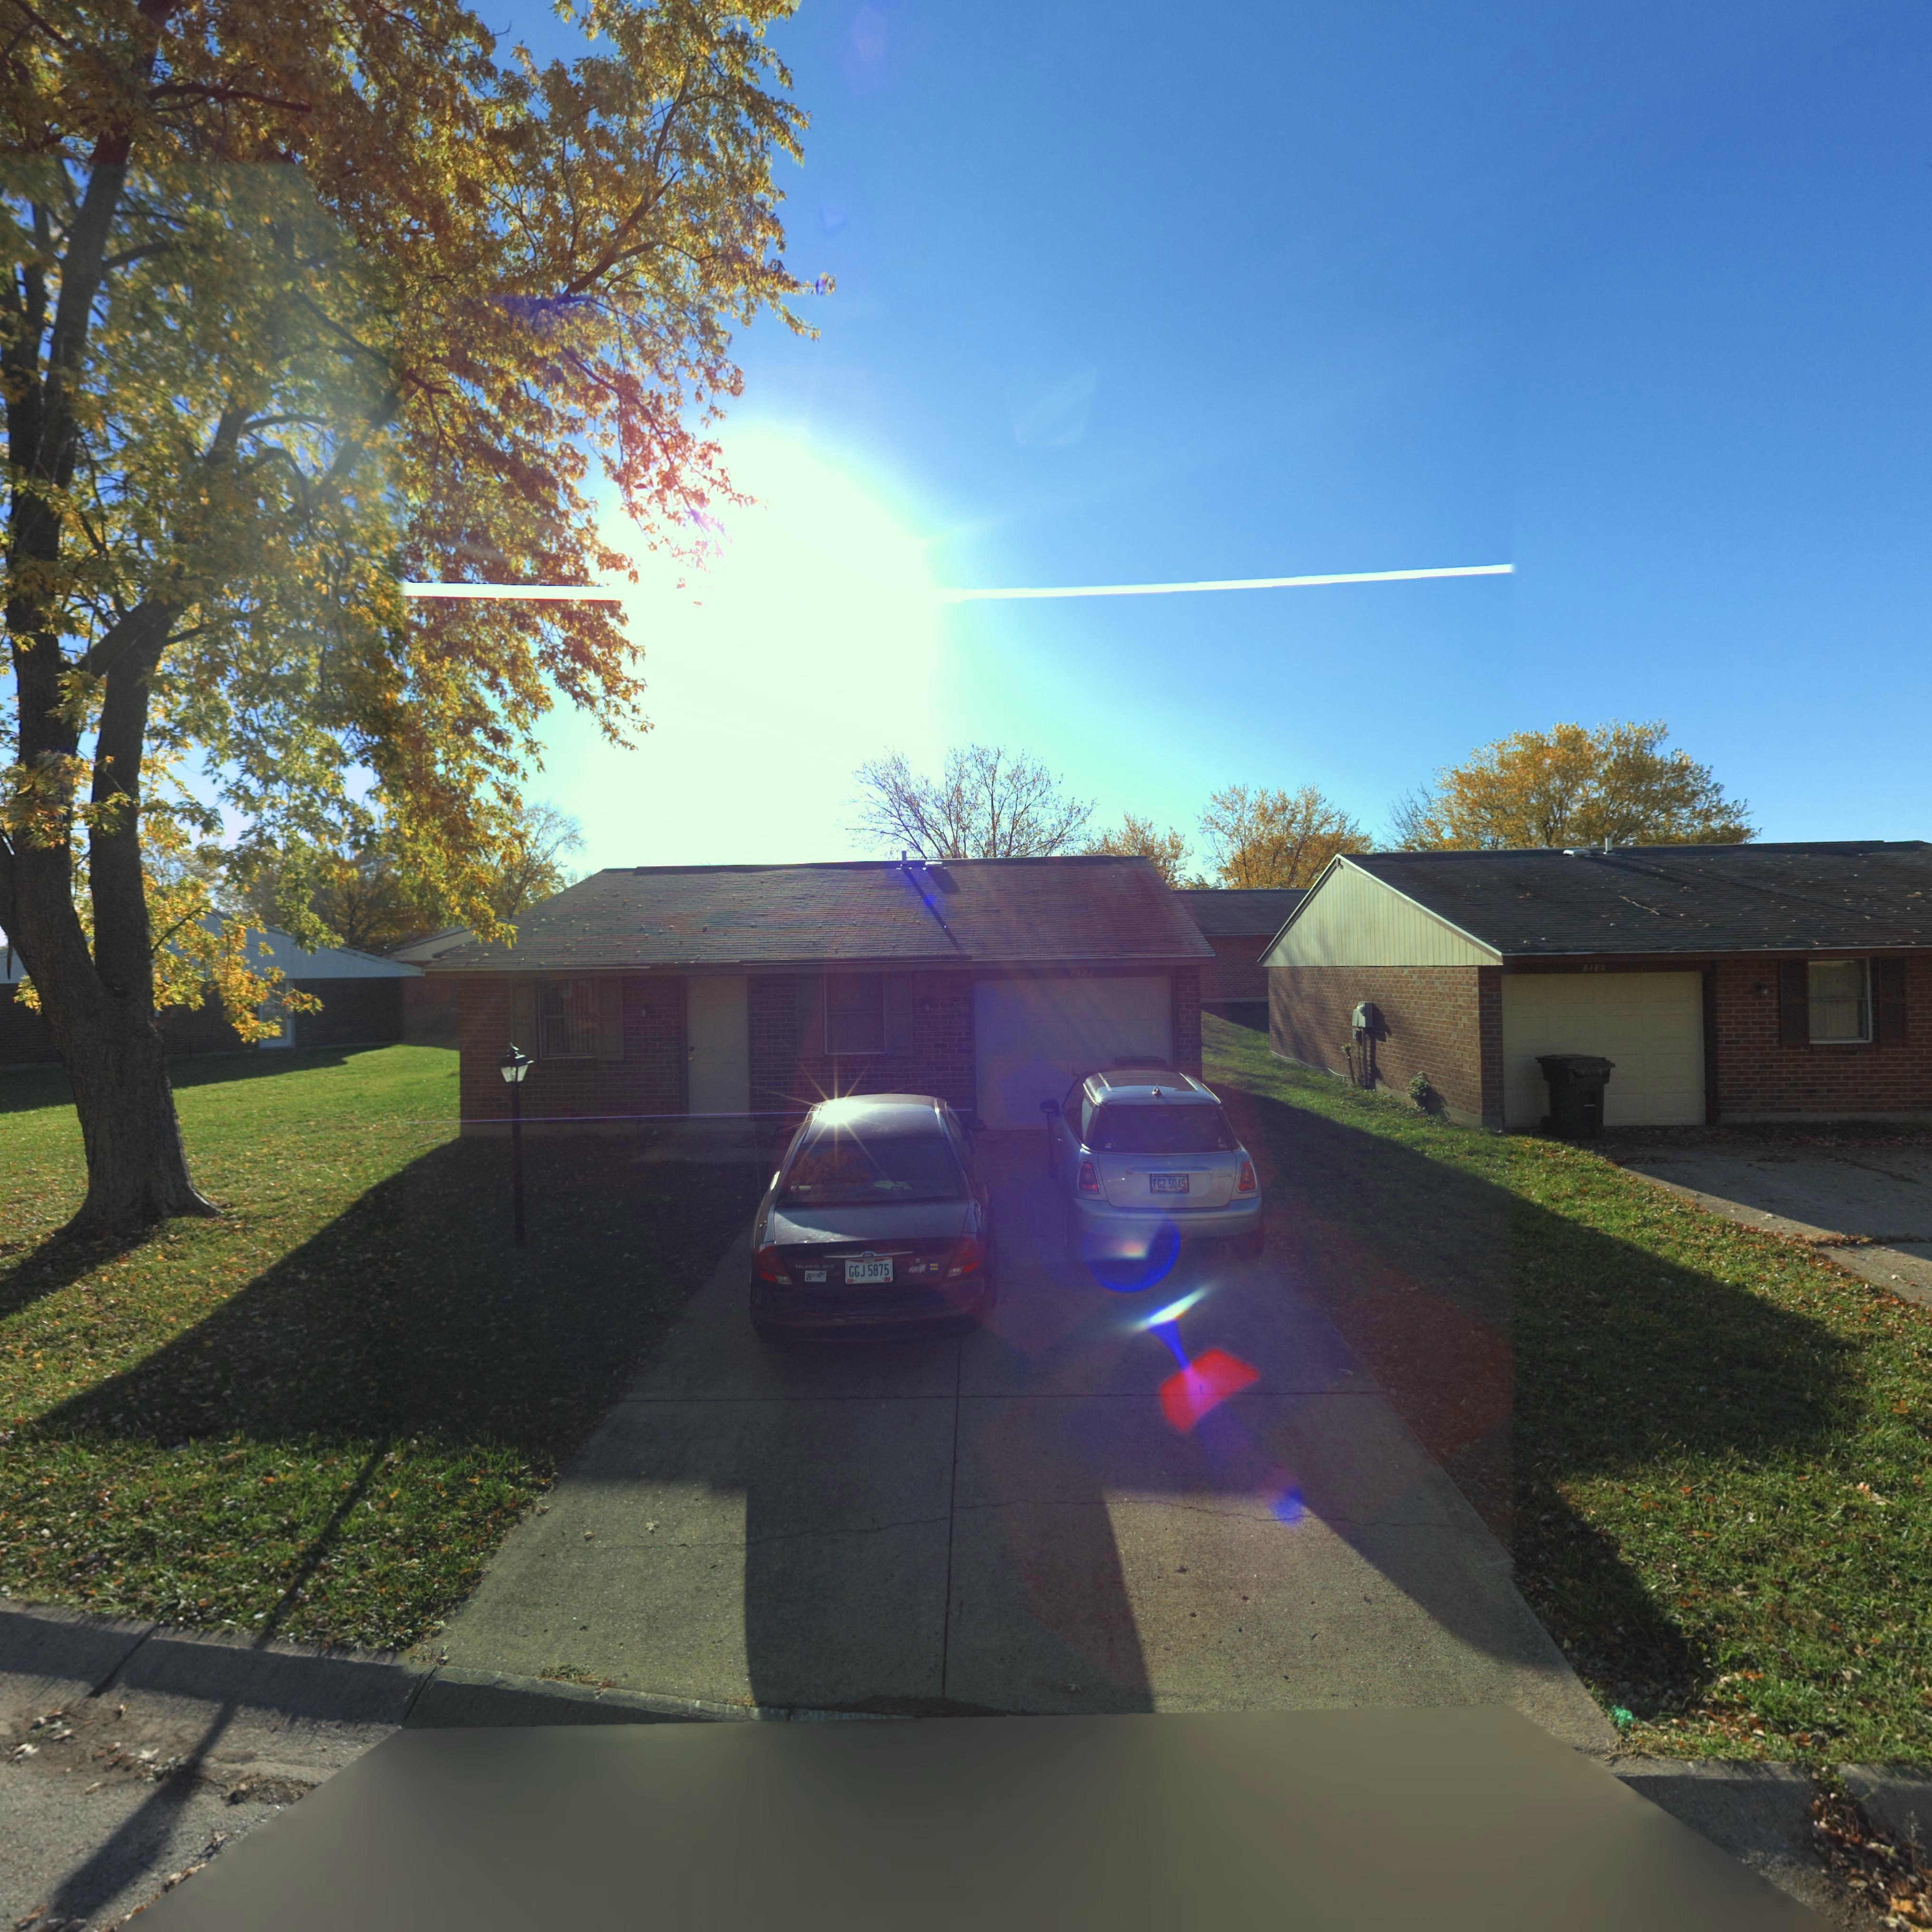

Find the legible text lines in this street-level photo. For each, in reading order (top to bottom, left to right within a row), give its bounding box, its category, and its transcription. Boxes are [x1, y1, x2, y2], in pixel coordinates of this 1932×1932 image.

[1582, 964, 1606, 972] StreetNumber: 8180
[1069, 969, 1095, 978] StreetNumber: 8188